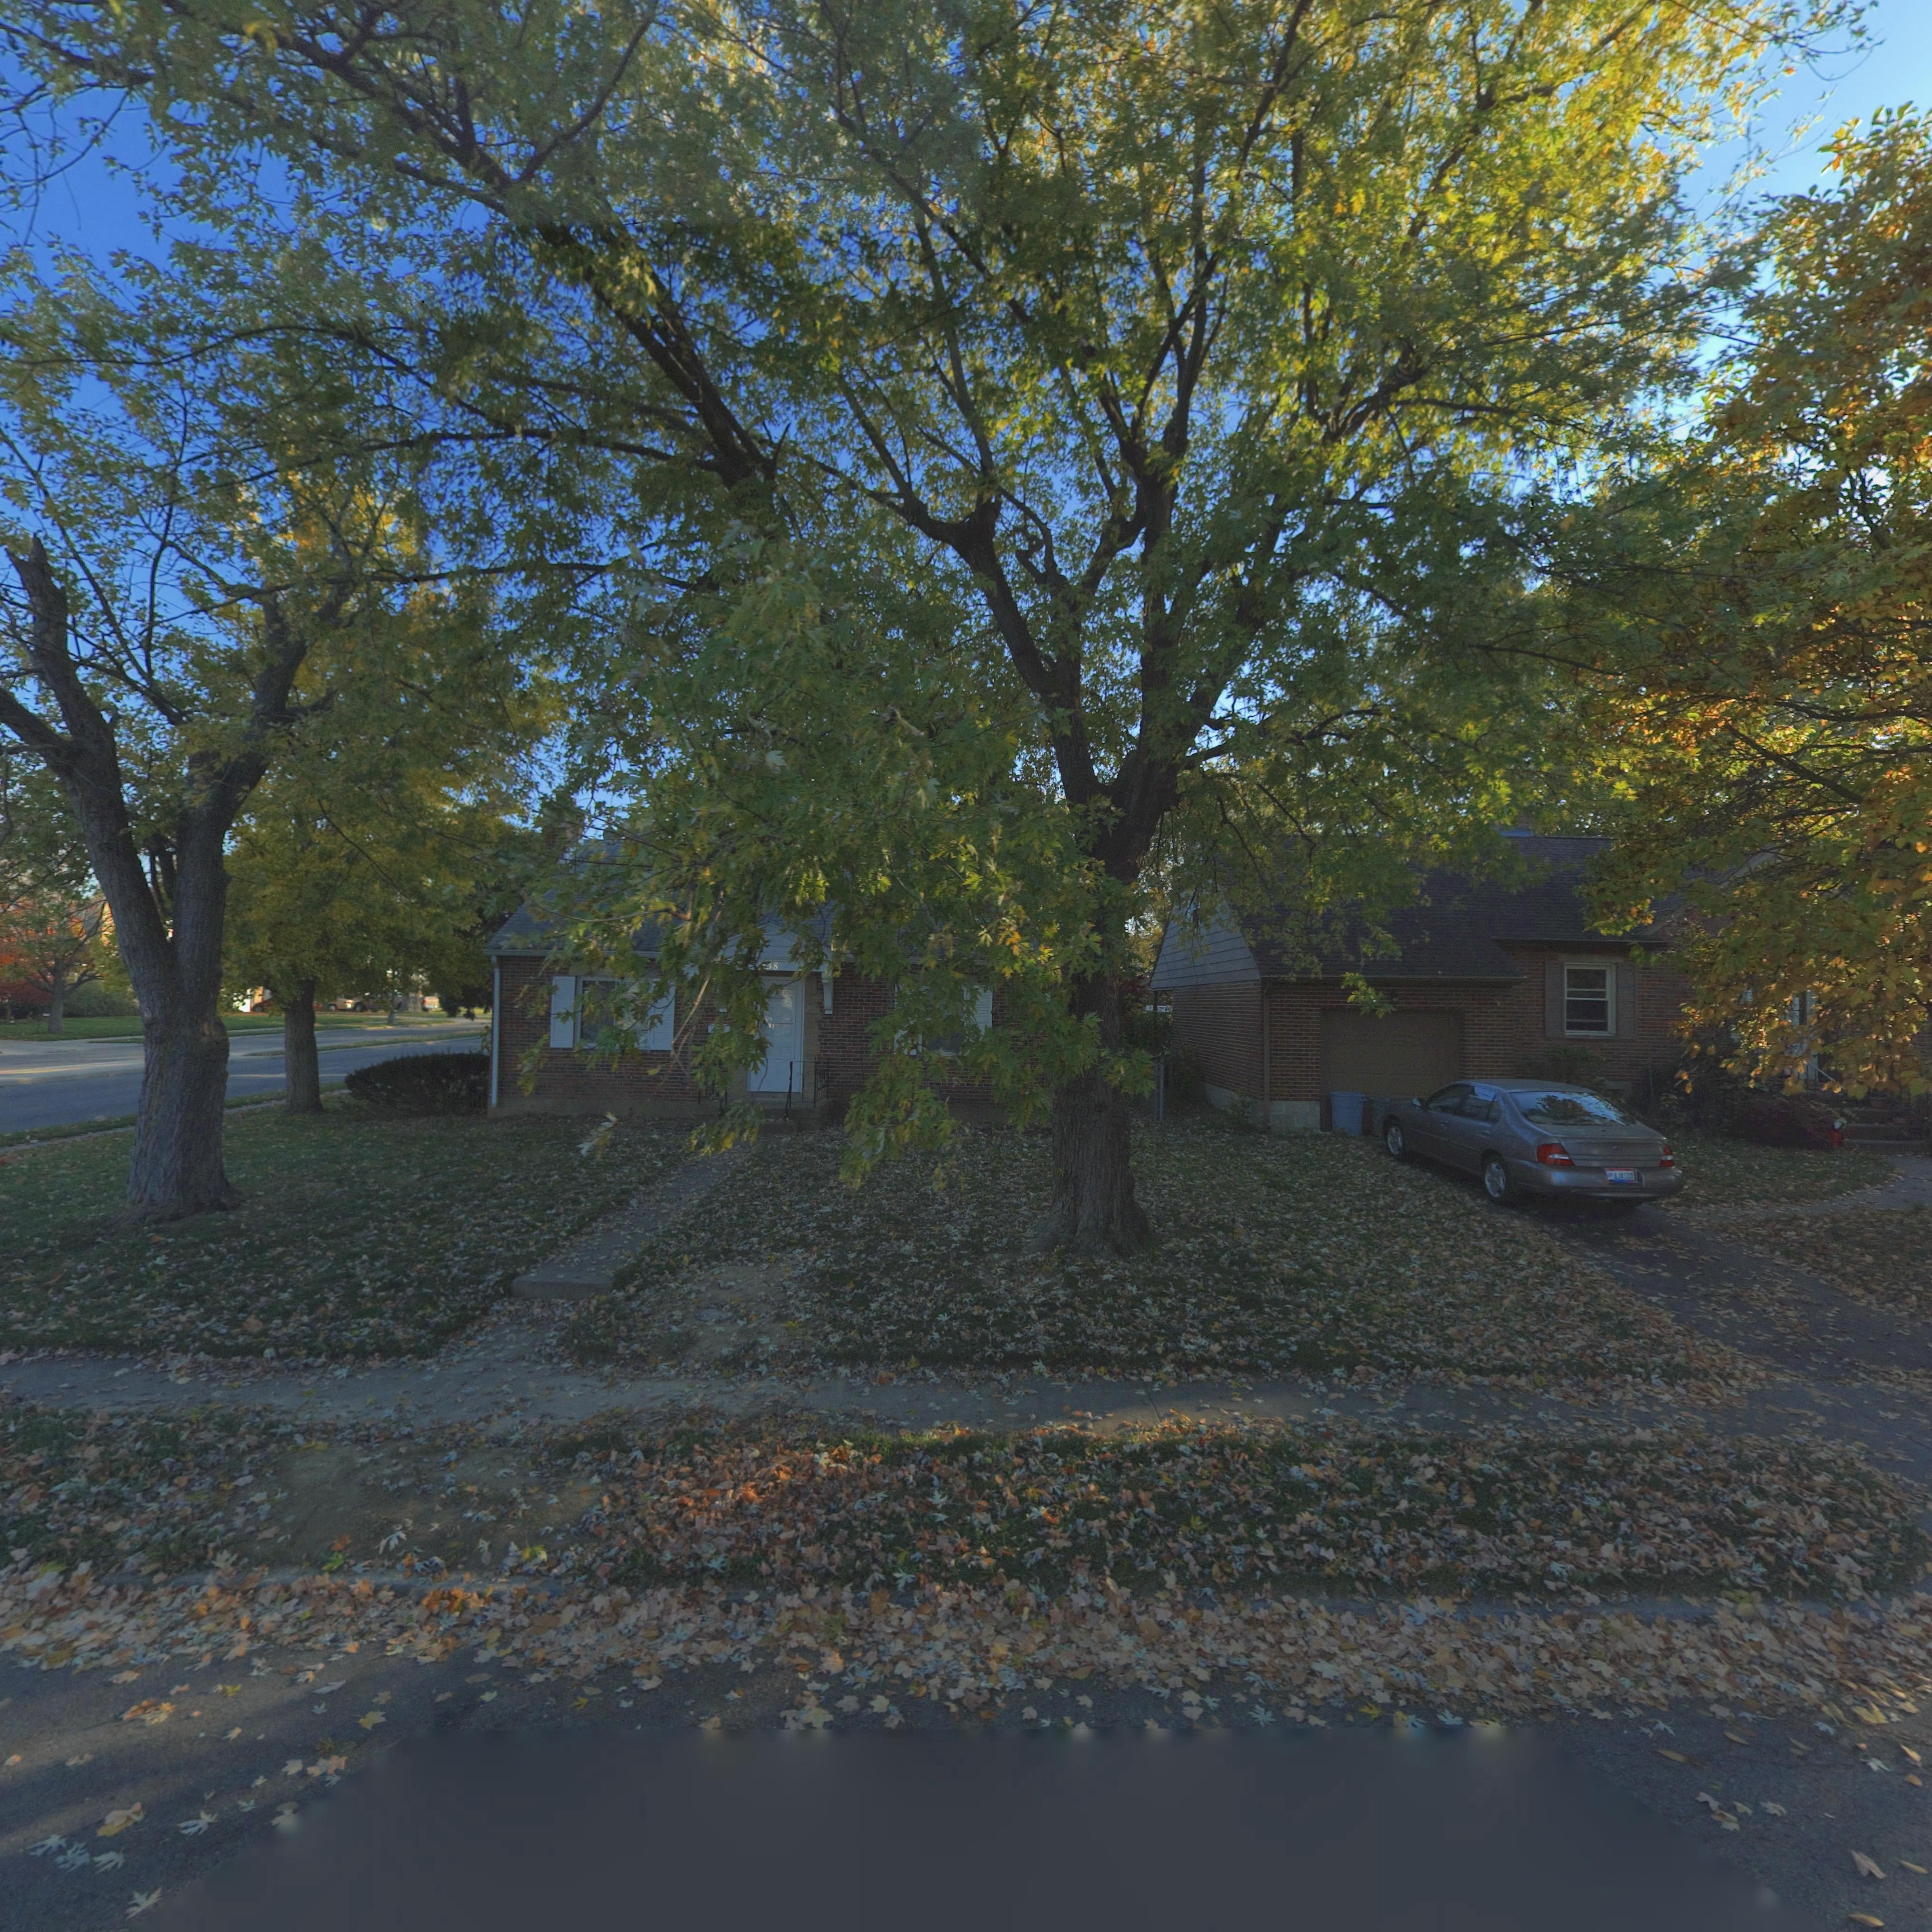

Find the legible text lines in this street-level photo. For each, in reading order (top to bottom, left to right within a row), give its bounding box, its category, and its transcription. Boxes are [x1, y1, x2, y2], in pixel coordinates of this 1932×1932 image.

[772, 961, 779, 971] StreetNumber: 8